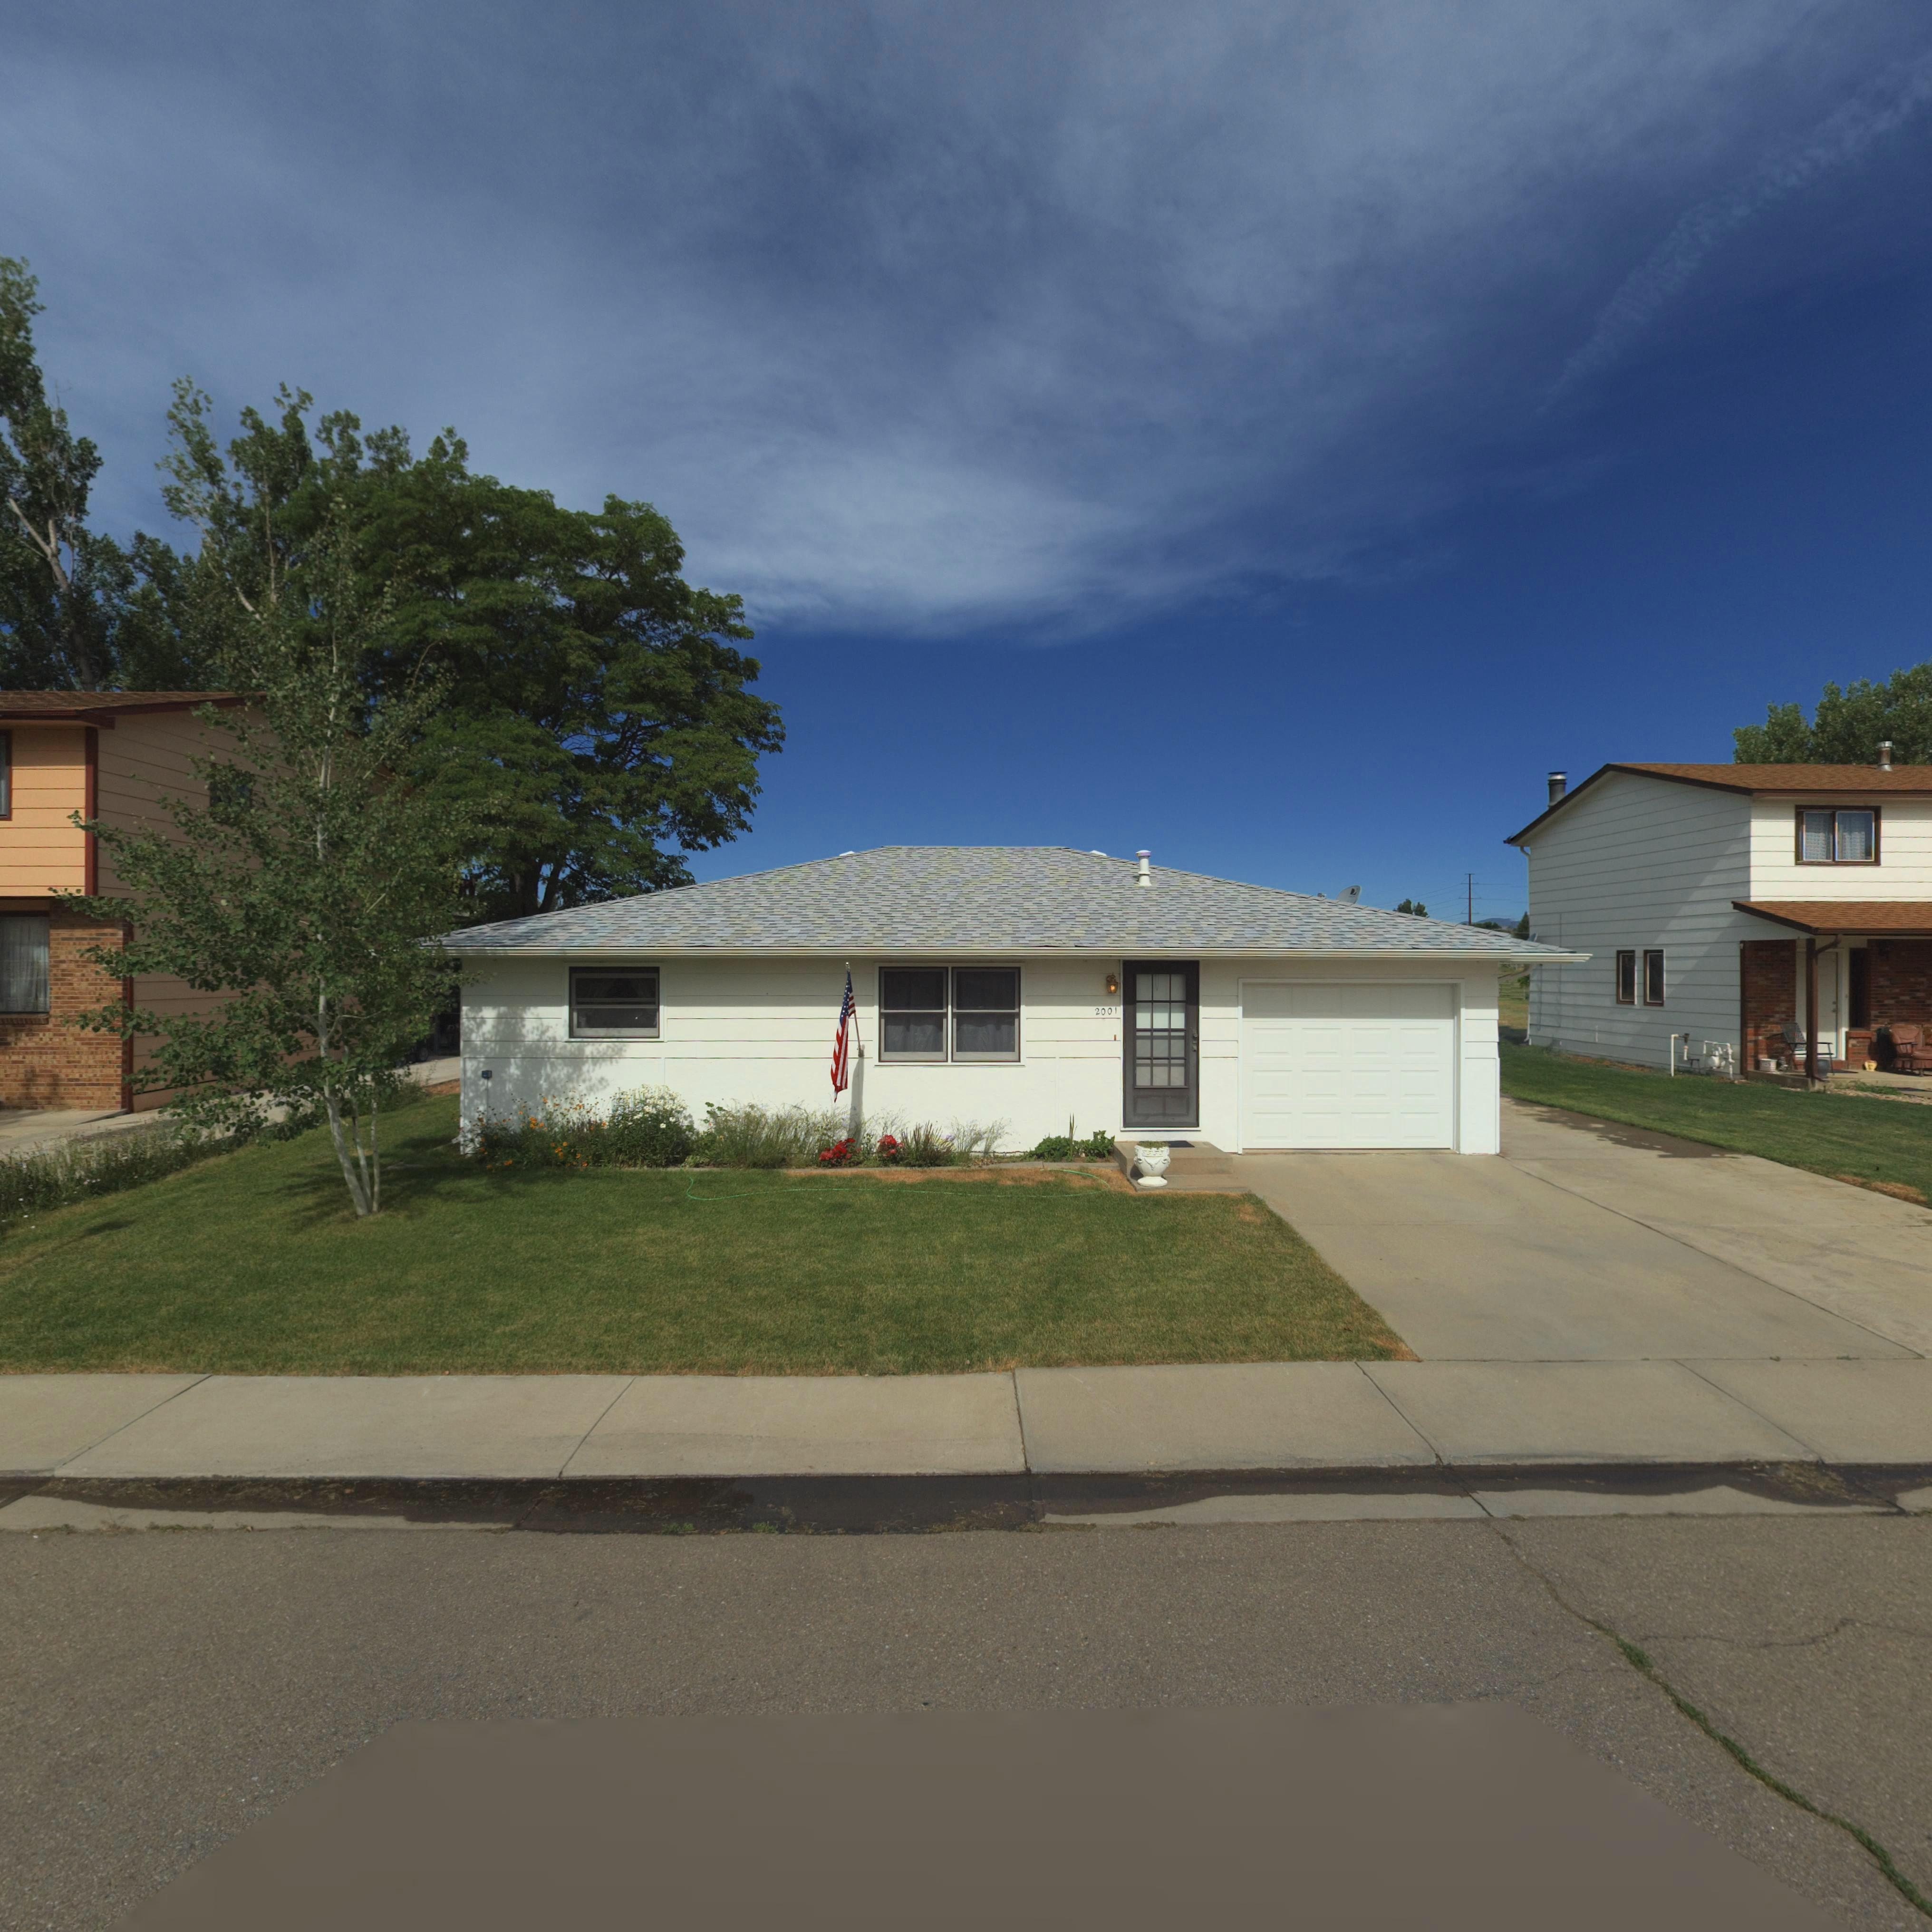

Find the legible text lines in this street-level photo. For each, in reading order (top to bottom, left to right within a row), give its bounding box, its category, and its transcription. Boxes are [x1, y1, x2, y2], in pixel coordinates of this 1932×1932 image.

[1094, 1006, 1117, 1015] StreetNumber: 2001